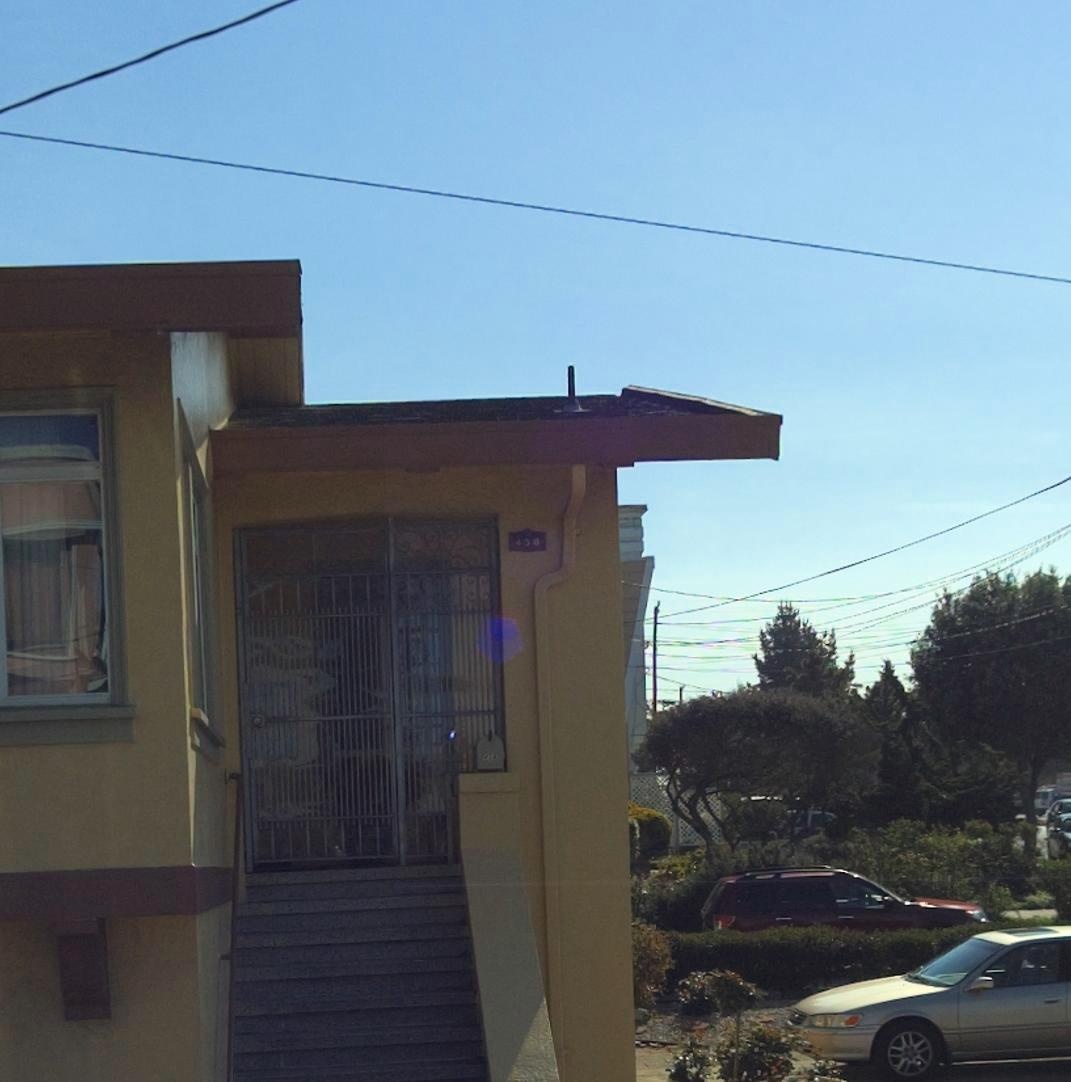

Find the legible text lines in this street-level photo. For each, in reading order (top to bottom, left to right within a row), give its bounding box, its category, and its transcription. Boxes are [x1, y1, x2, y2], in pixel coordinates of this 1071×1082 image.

[512, 534, 540, 550] StreetNumber: 450